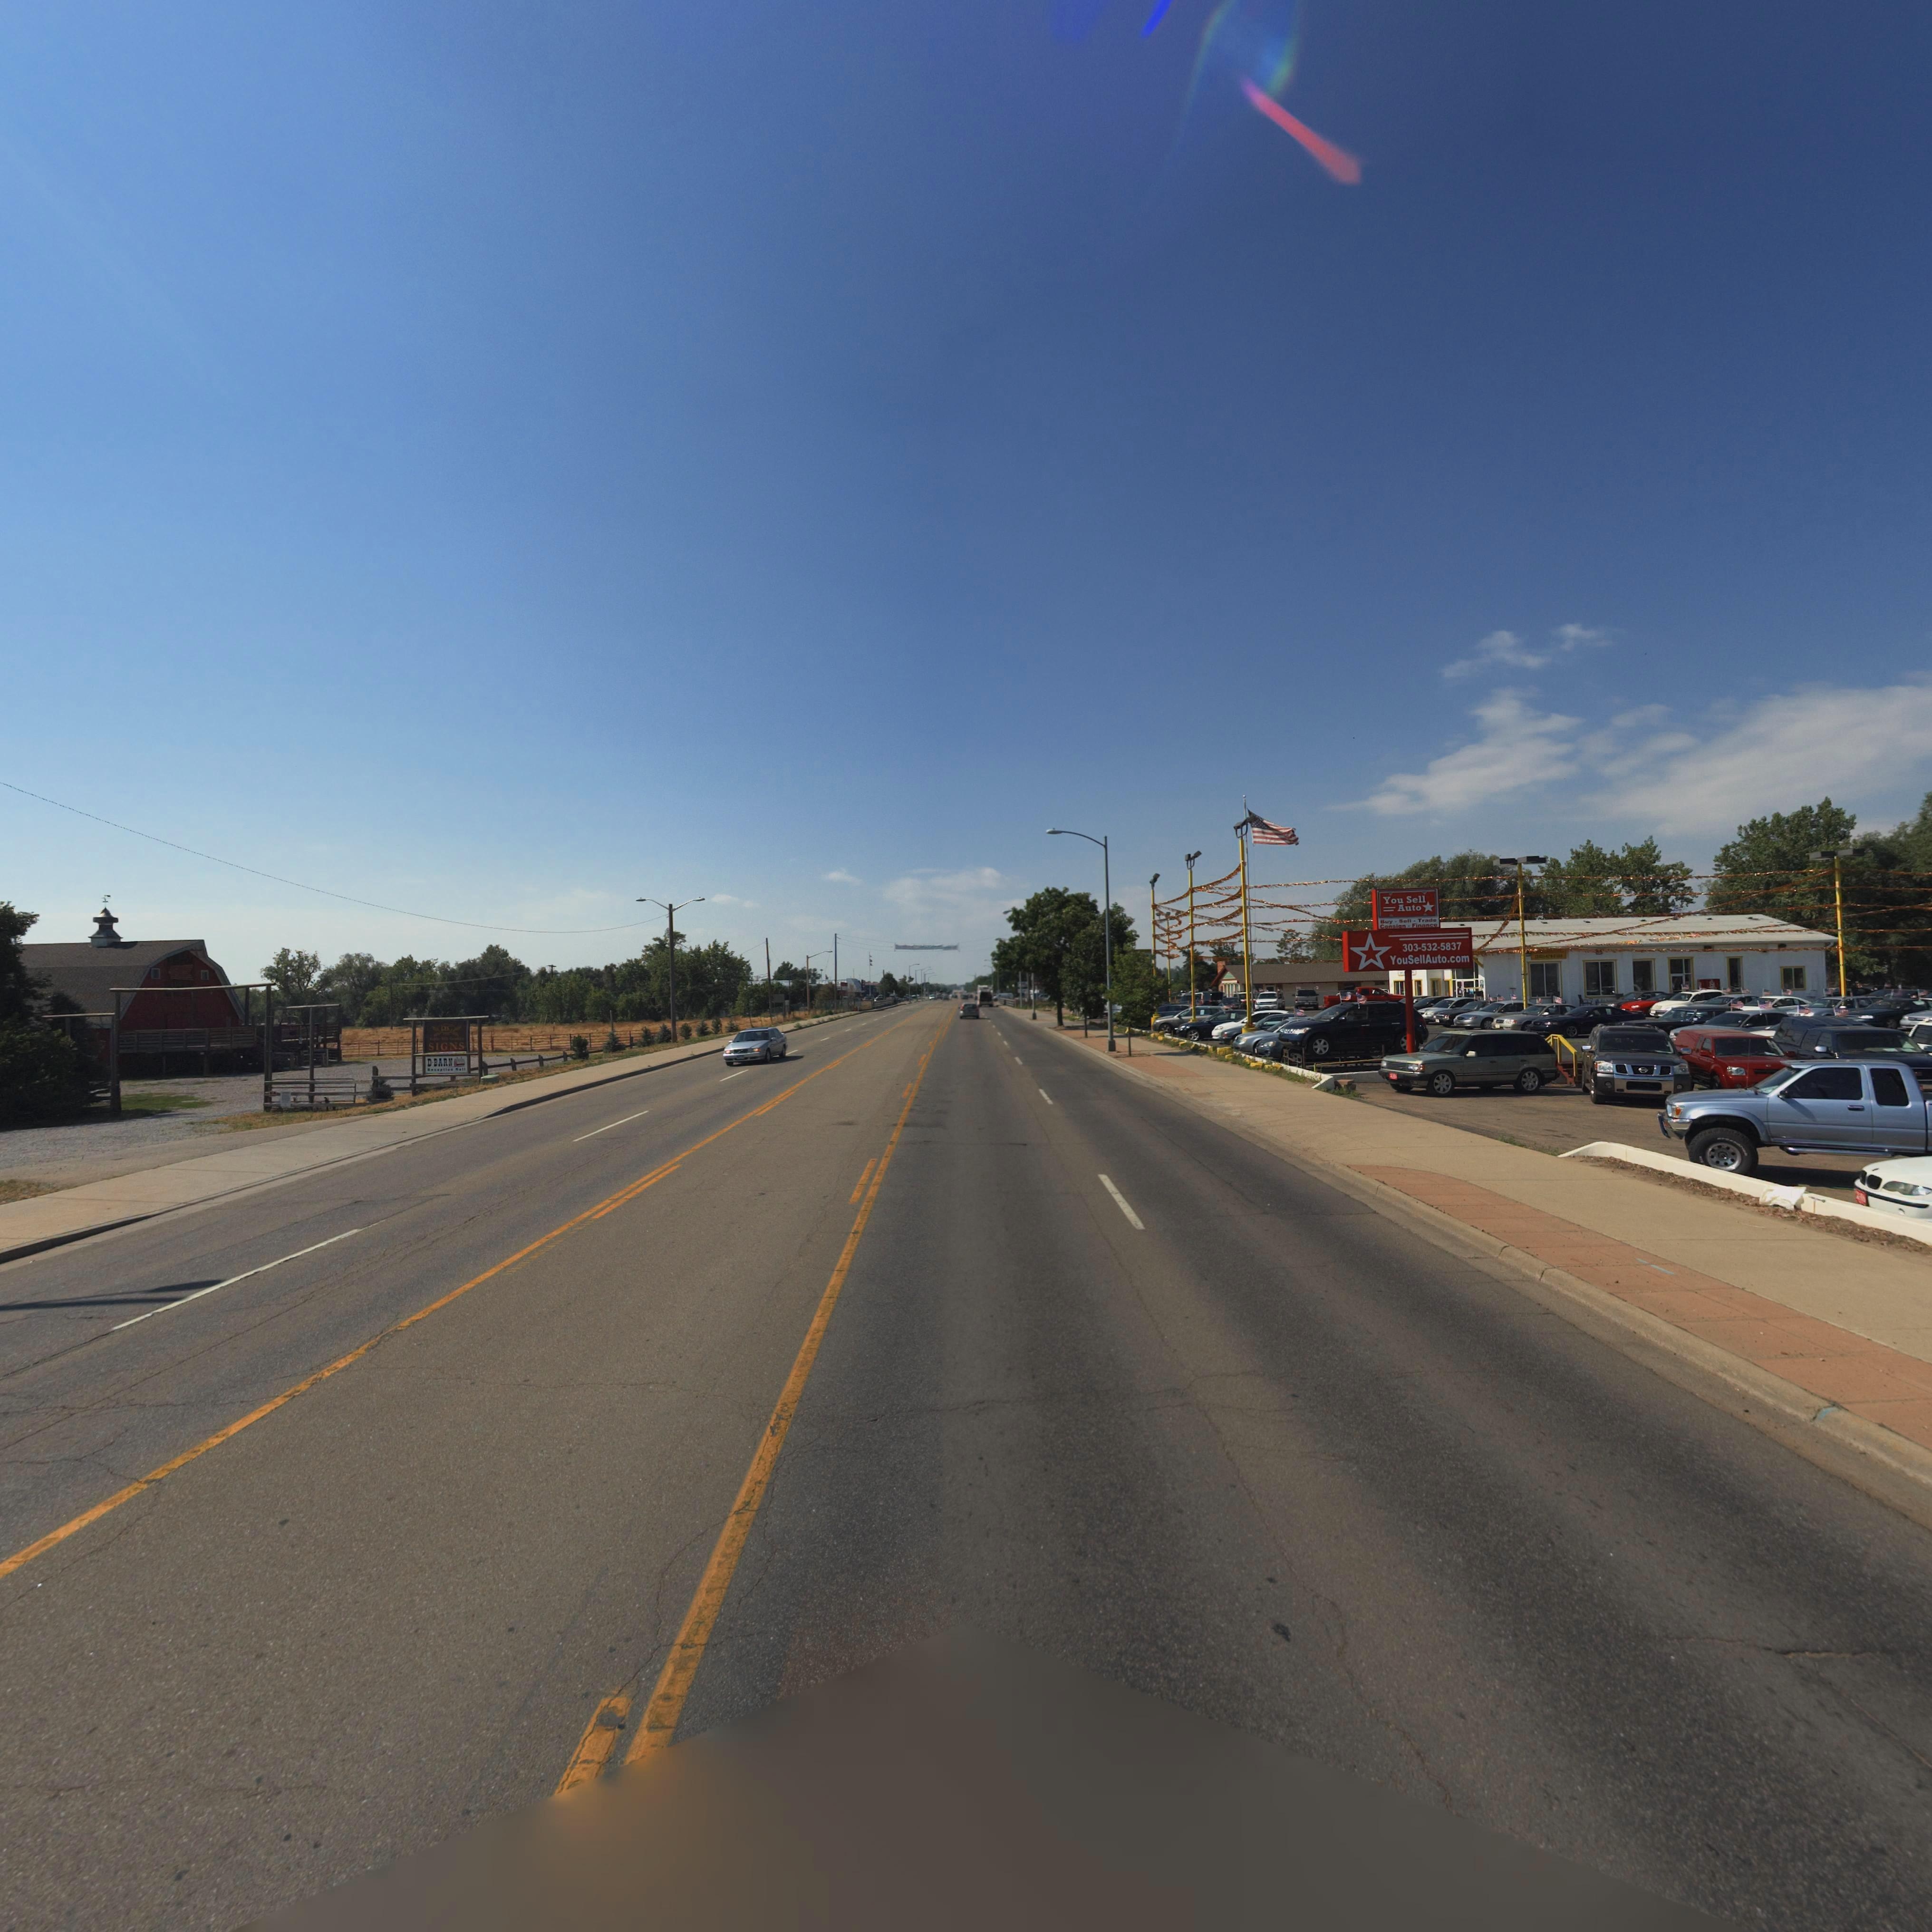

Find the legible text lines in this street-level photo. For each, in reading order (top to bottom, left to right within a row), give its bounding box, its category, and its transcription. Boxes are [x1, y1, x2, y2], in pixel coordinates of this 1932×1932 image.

[1382, 895, 1426, 904] BusinessName: You Sell
[1397, 904, 1421, 911] BusinessName: Auto
[427, 1058, 453, 1067] BusinessName: D*BARN